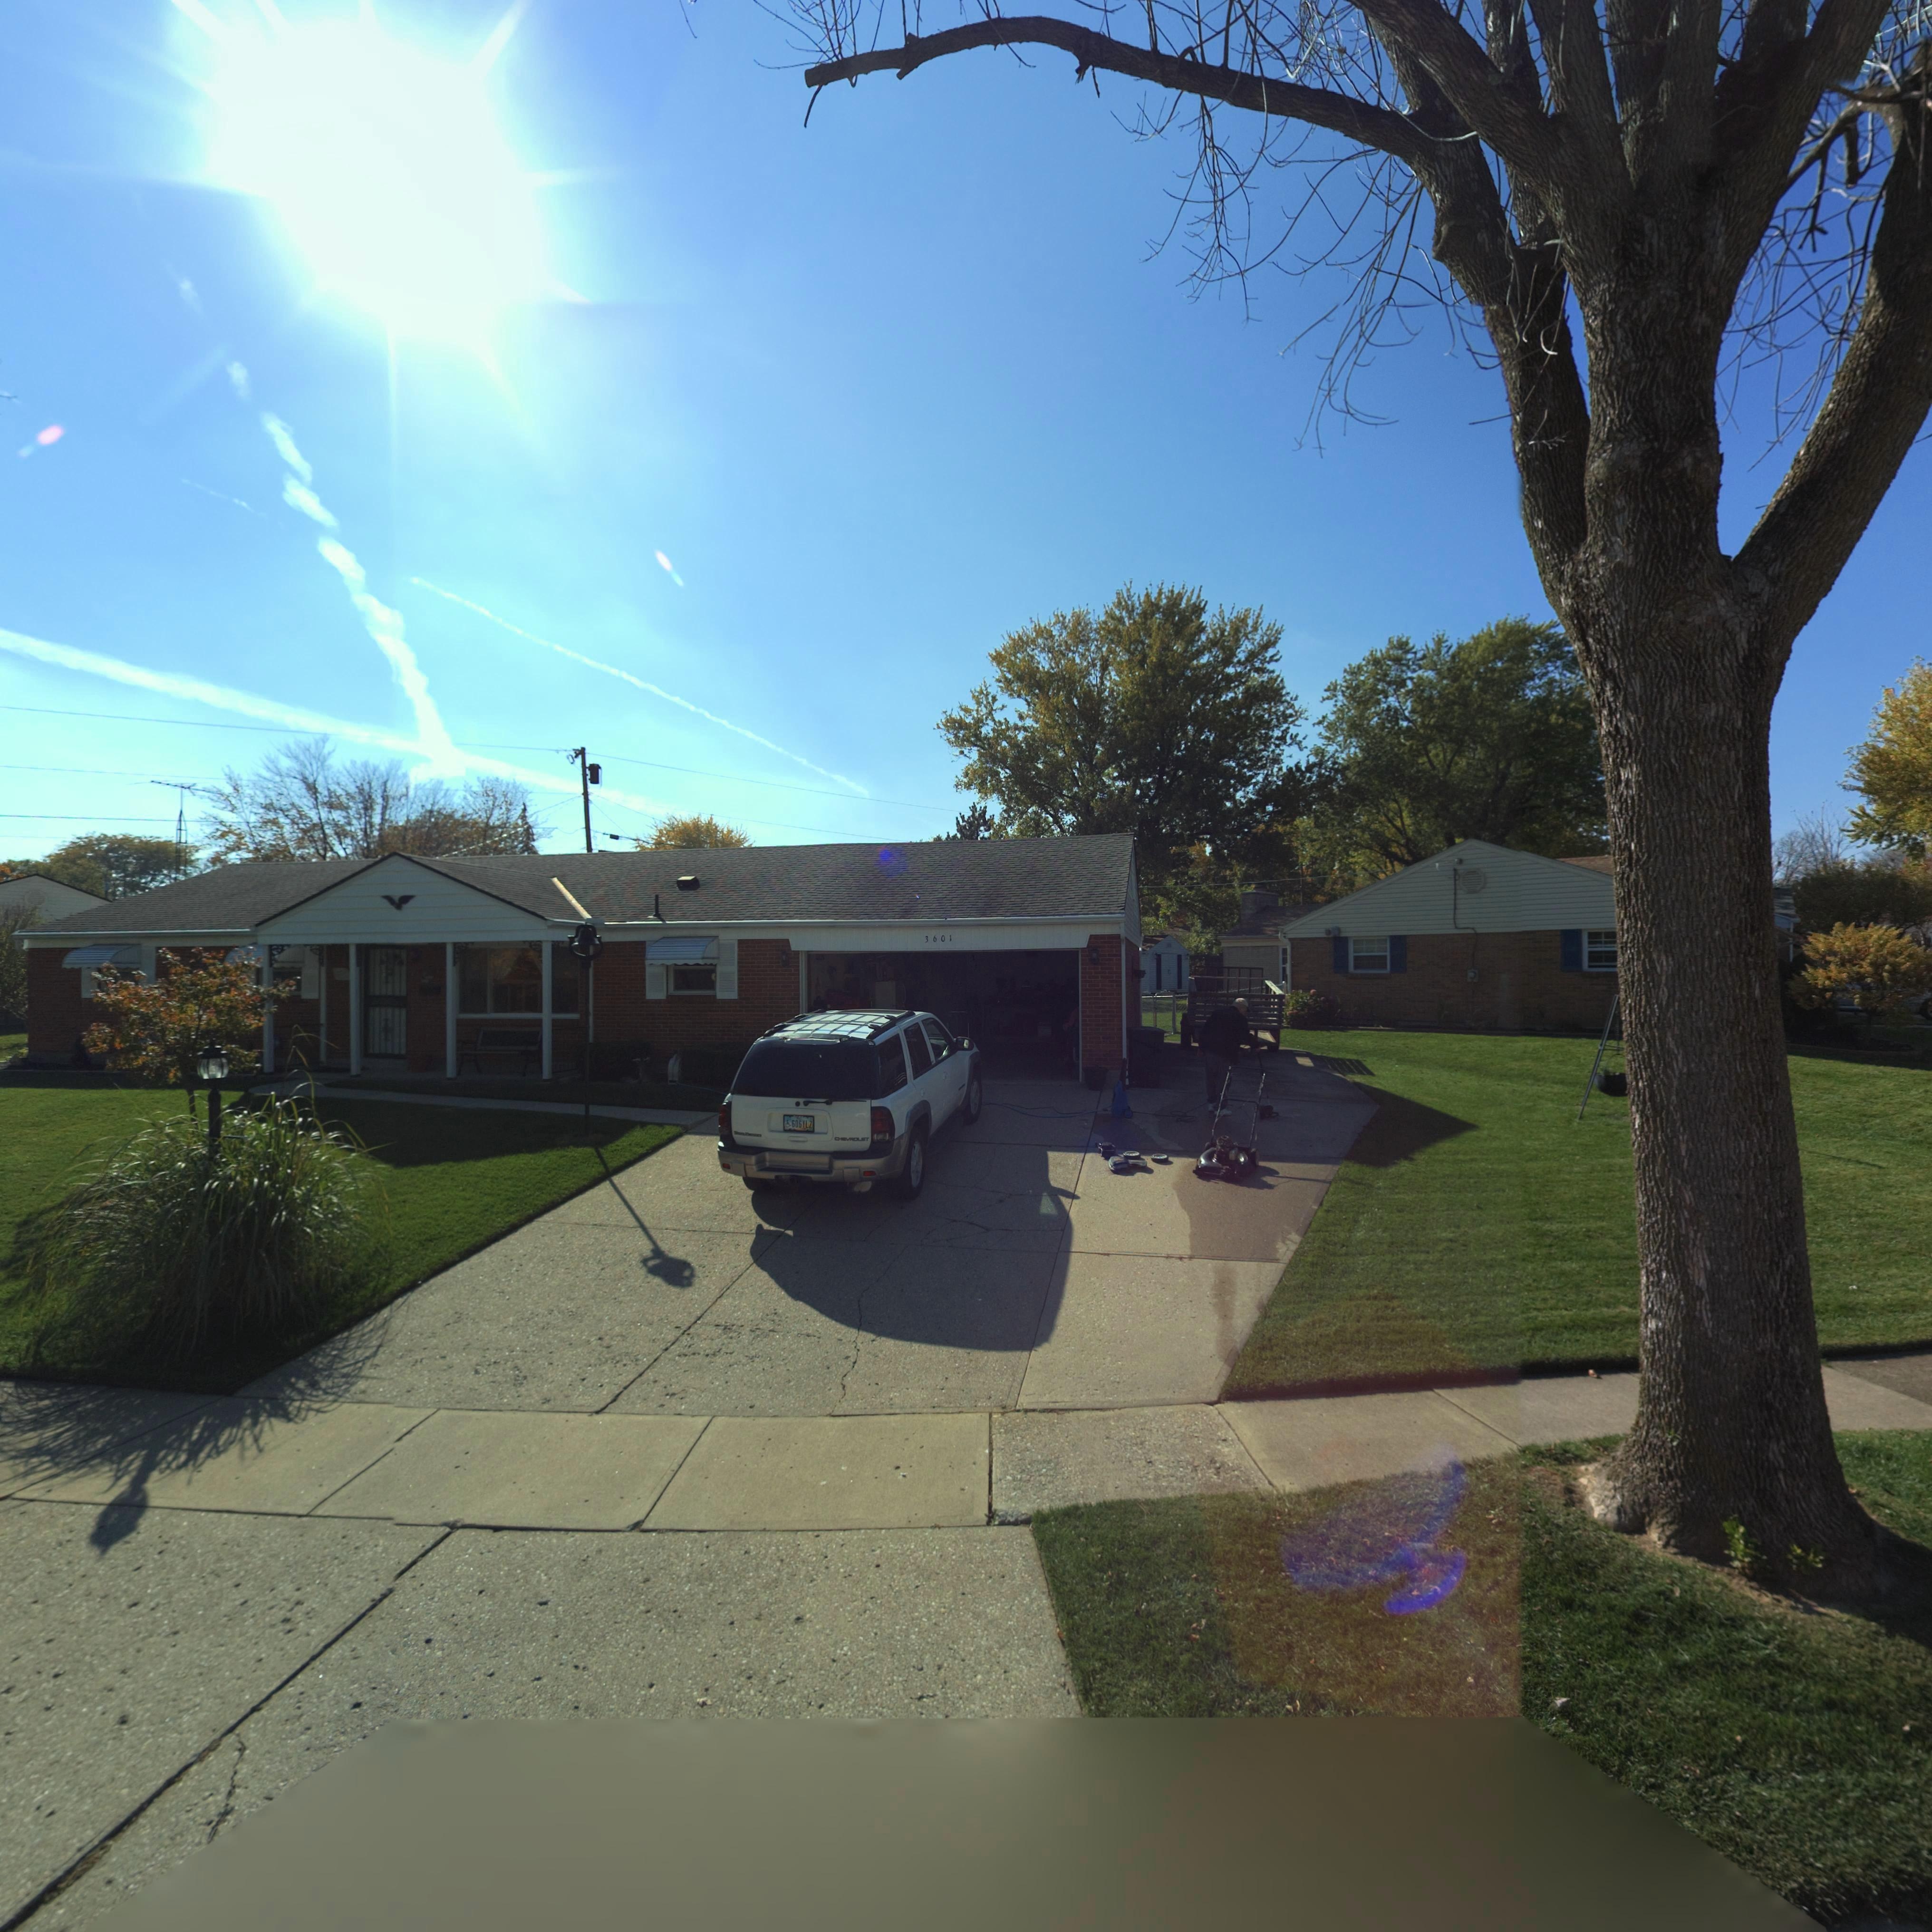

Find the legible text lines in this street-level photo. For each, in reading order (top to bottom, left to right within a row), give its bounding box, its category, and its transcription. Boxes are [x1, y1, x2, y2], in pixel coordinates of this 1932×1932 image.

[923, 933, 953, 944] StreetNumber: 3601